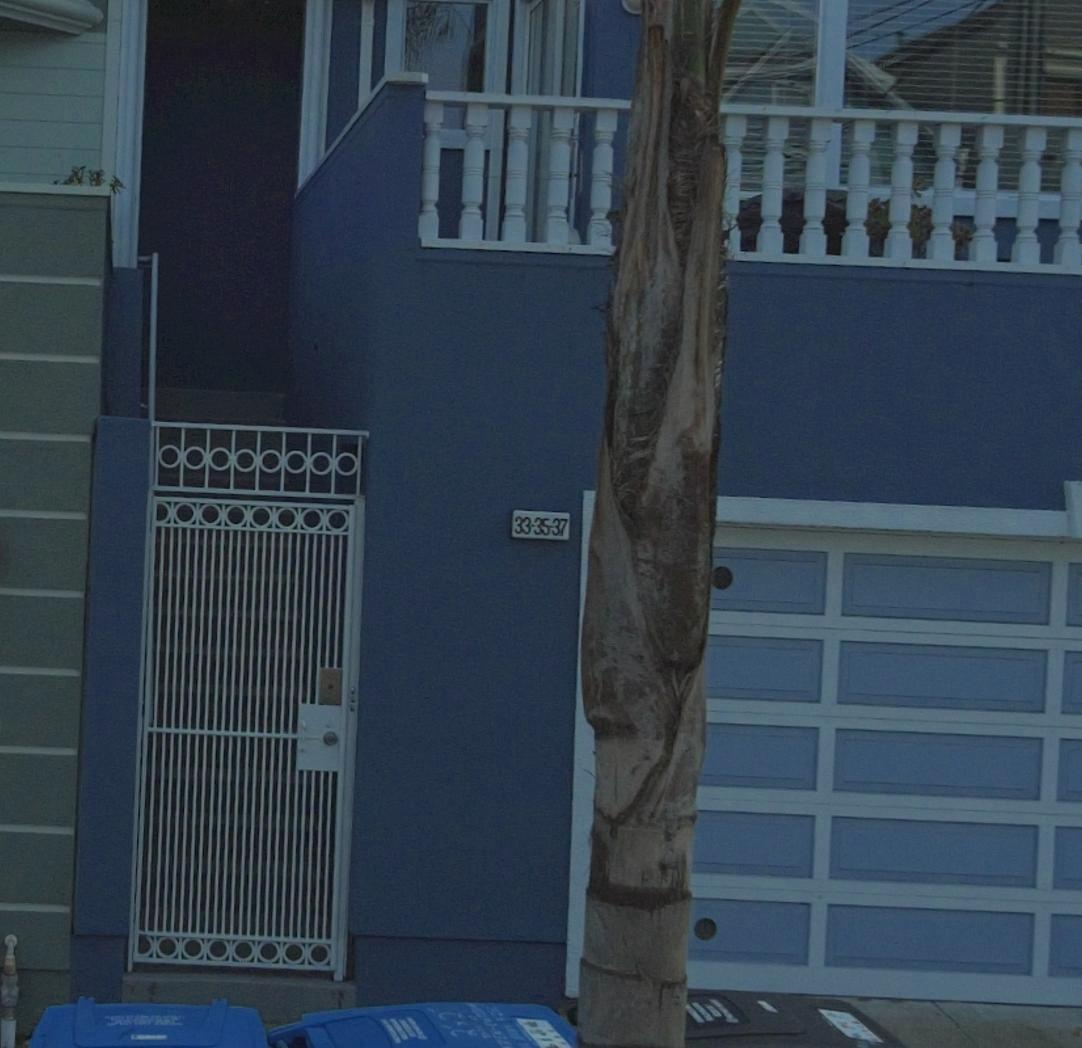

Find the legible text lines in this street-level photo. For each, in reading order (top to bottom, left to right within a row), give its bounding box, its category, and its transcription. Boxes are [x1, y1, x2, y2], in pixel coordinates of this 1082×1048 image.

[514, 515, 532, 535] StreetNumber: 33
[534, 516, 550, 537] StreetNumber: 35
[551, 517, 569, 538] StreetNumber: 37